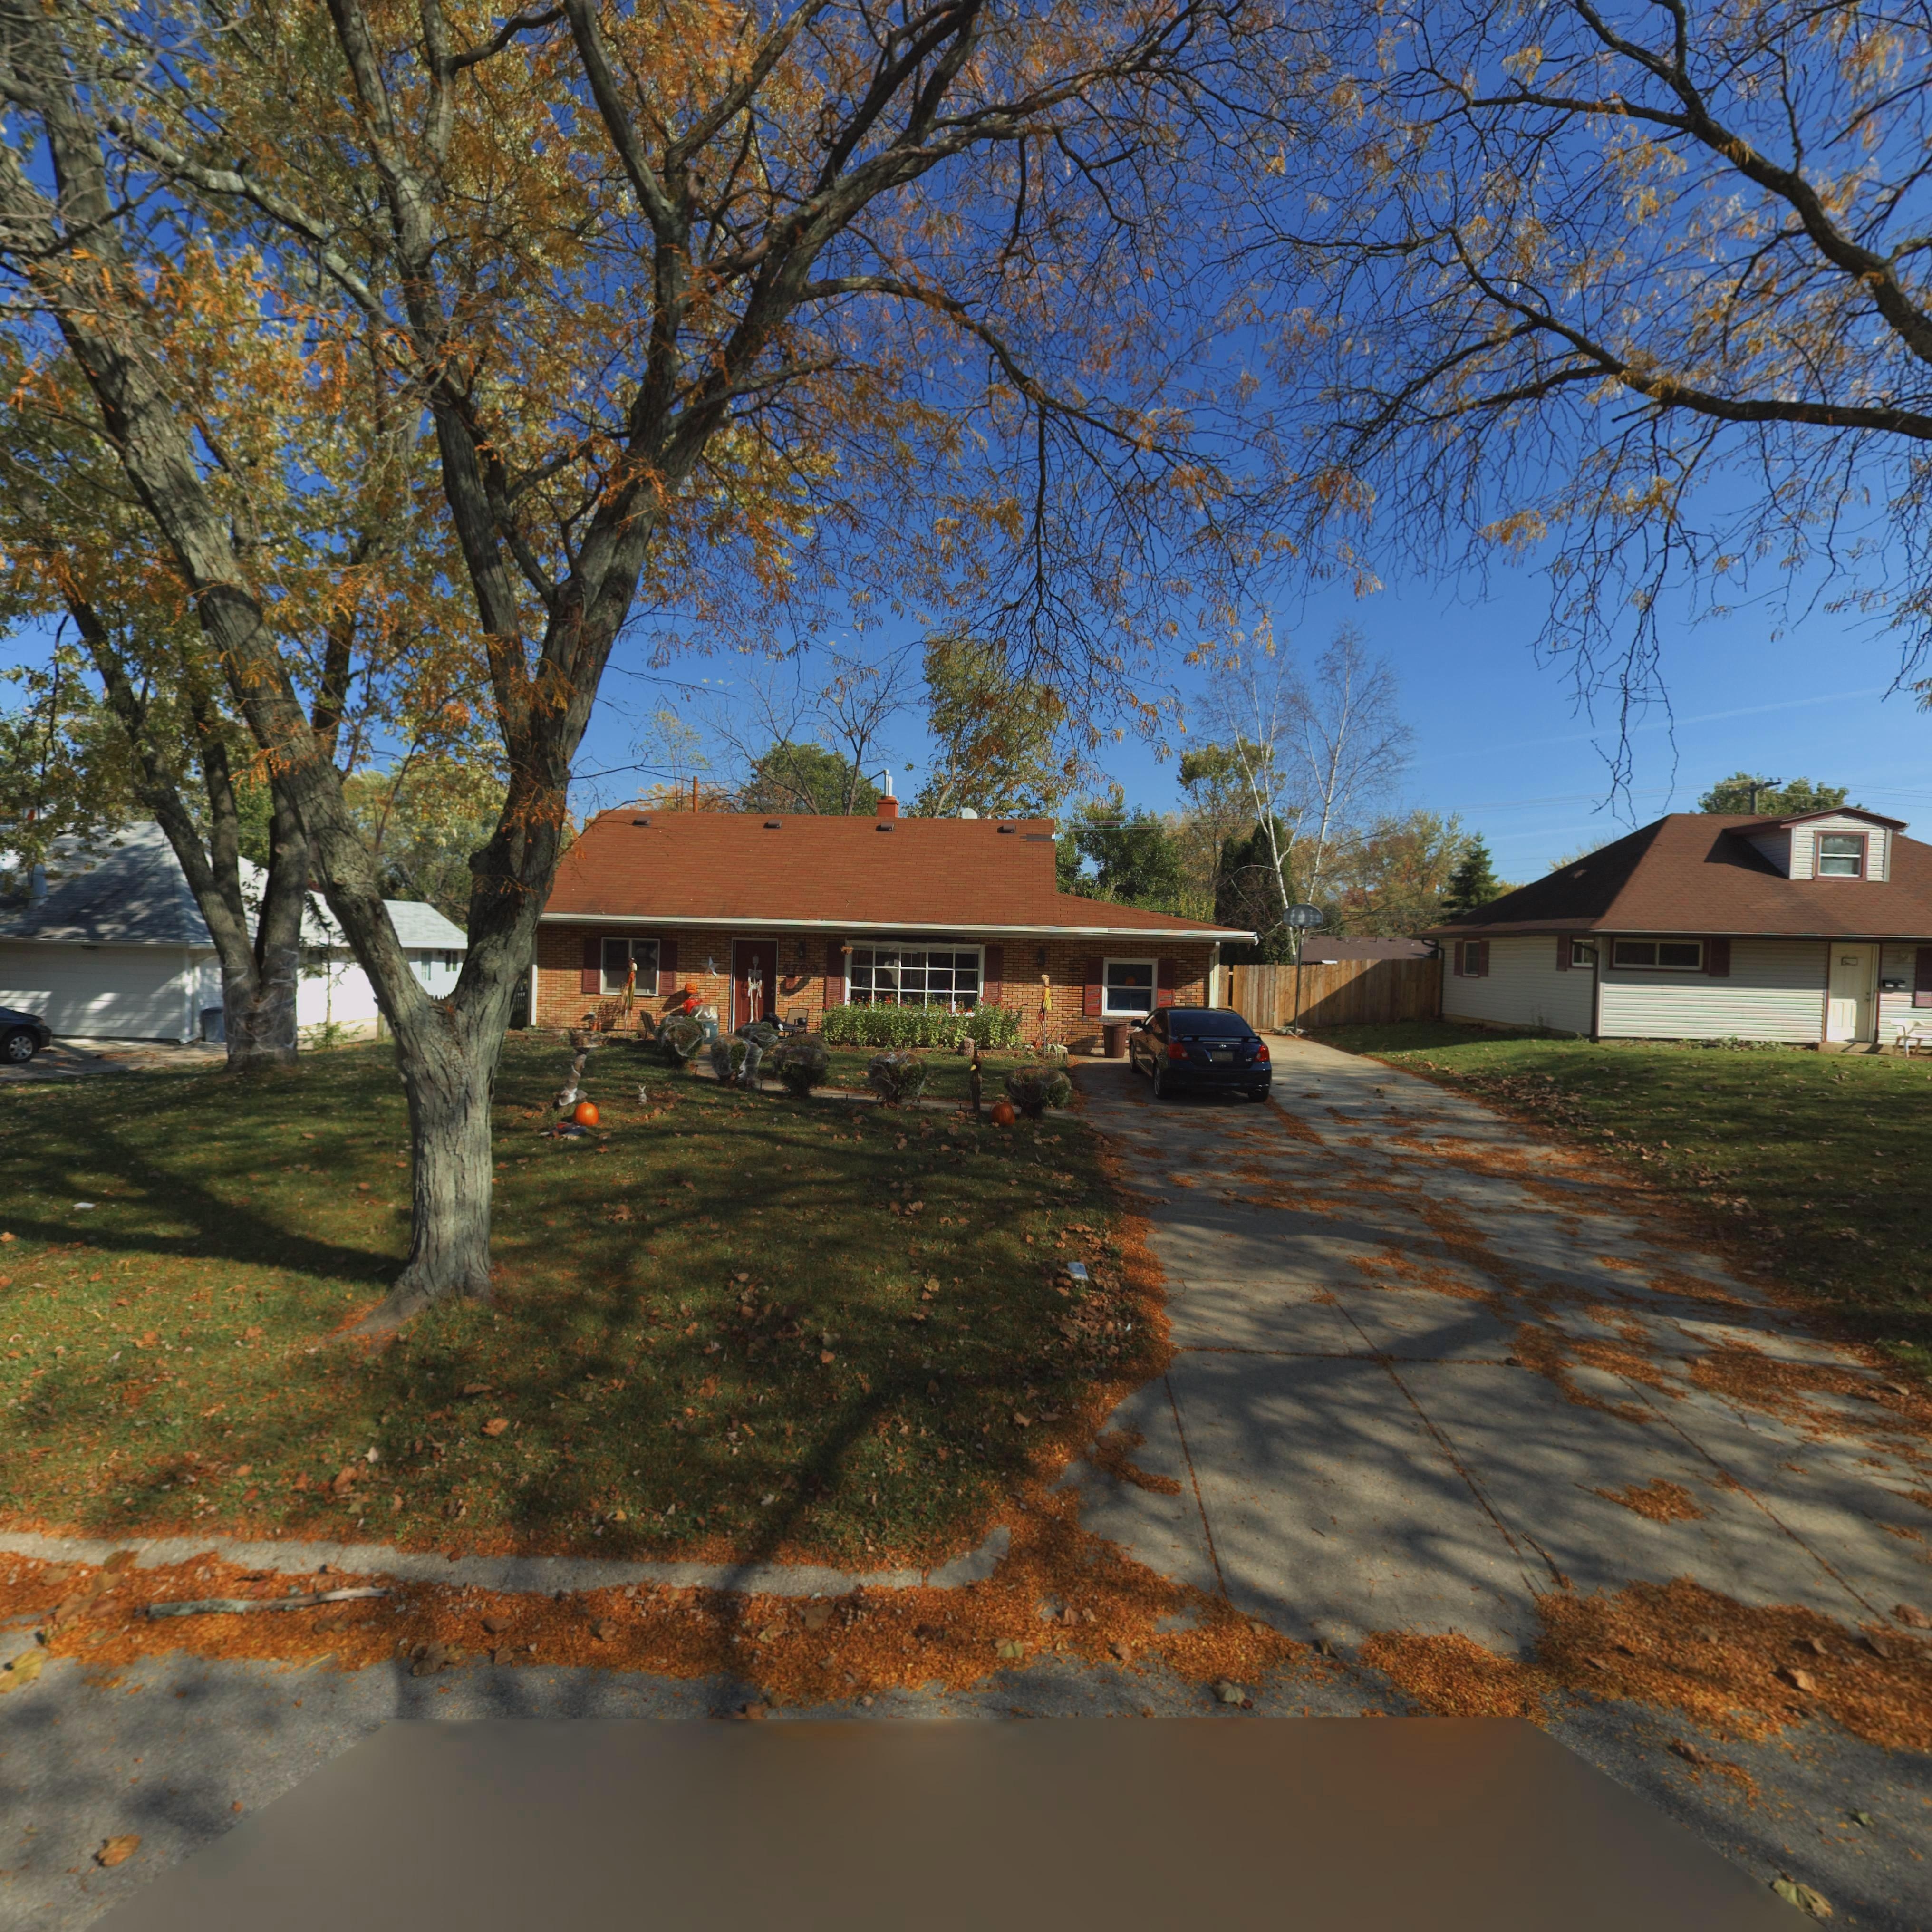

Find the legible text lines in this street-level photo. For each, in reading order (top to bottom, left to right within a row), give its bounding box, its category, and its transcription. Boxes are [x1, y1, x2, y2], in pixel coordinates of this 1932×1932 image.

[782, 962, 819, 974] StreetNumber: 3700